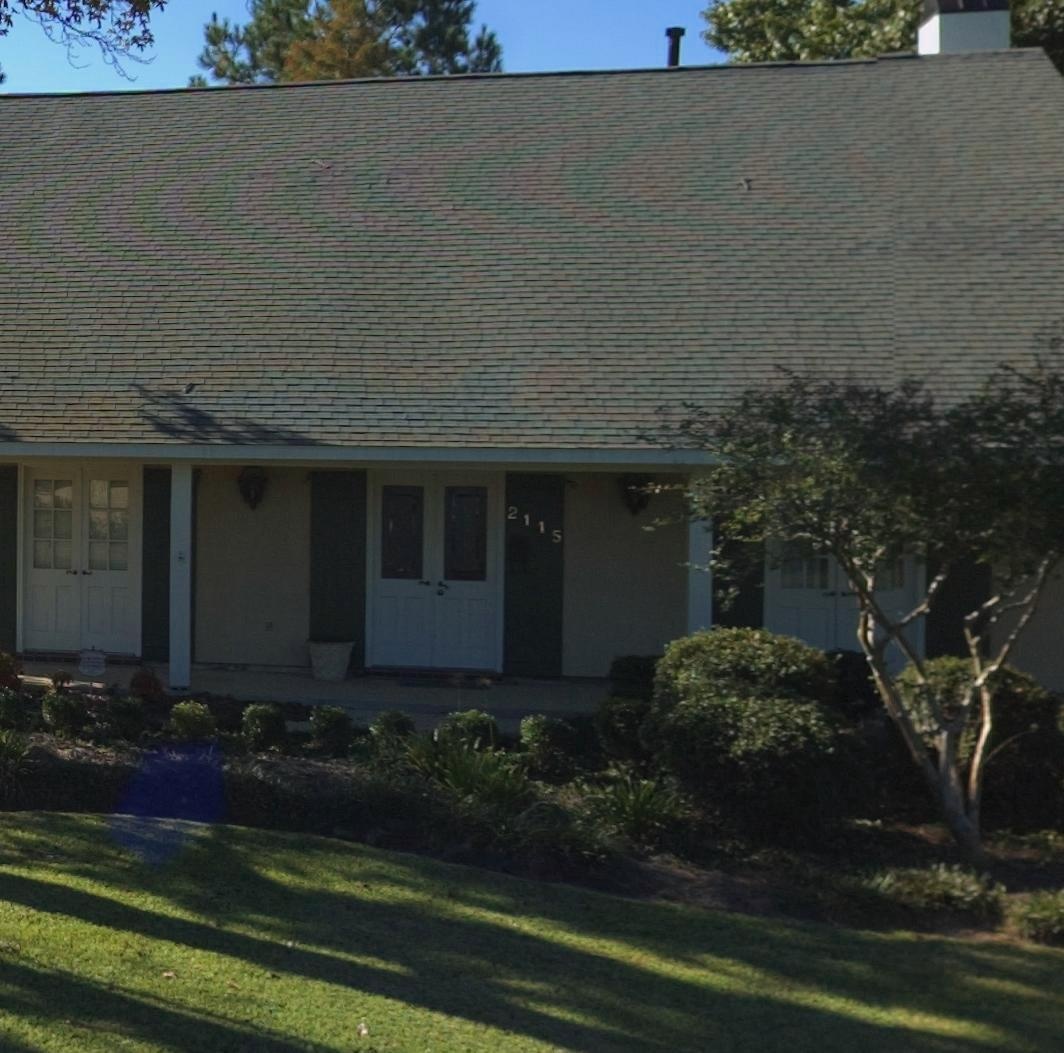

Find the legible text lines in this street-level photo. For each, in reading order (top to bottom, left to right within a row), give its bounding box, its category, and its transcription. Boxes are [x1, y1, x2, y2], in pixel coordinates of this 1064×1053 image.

[504, 503, 565, 549] StreetNumber: 2115